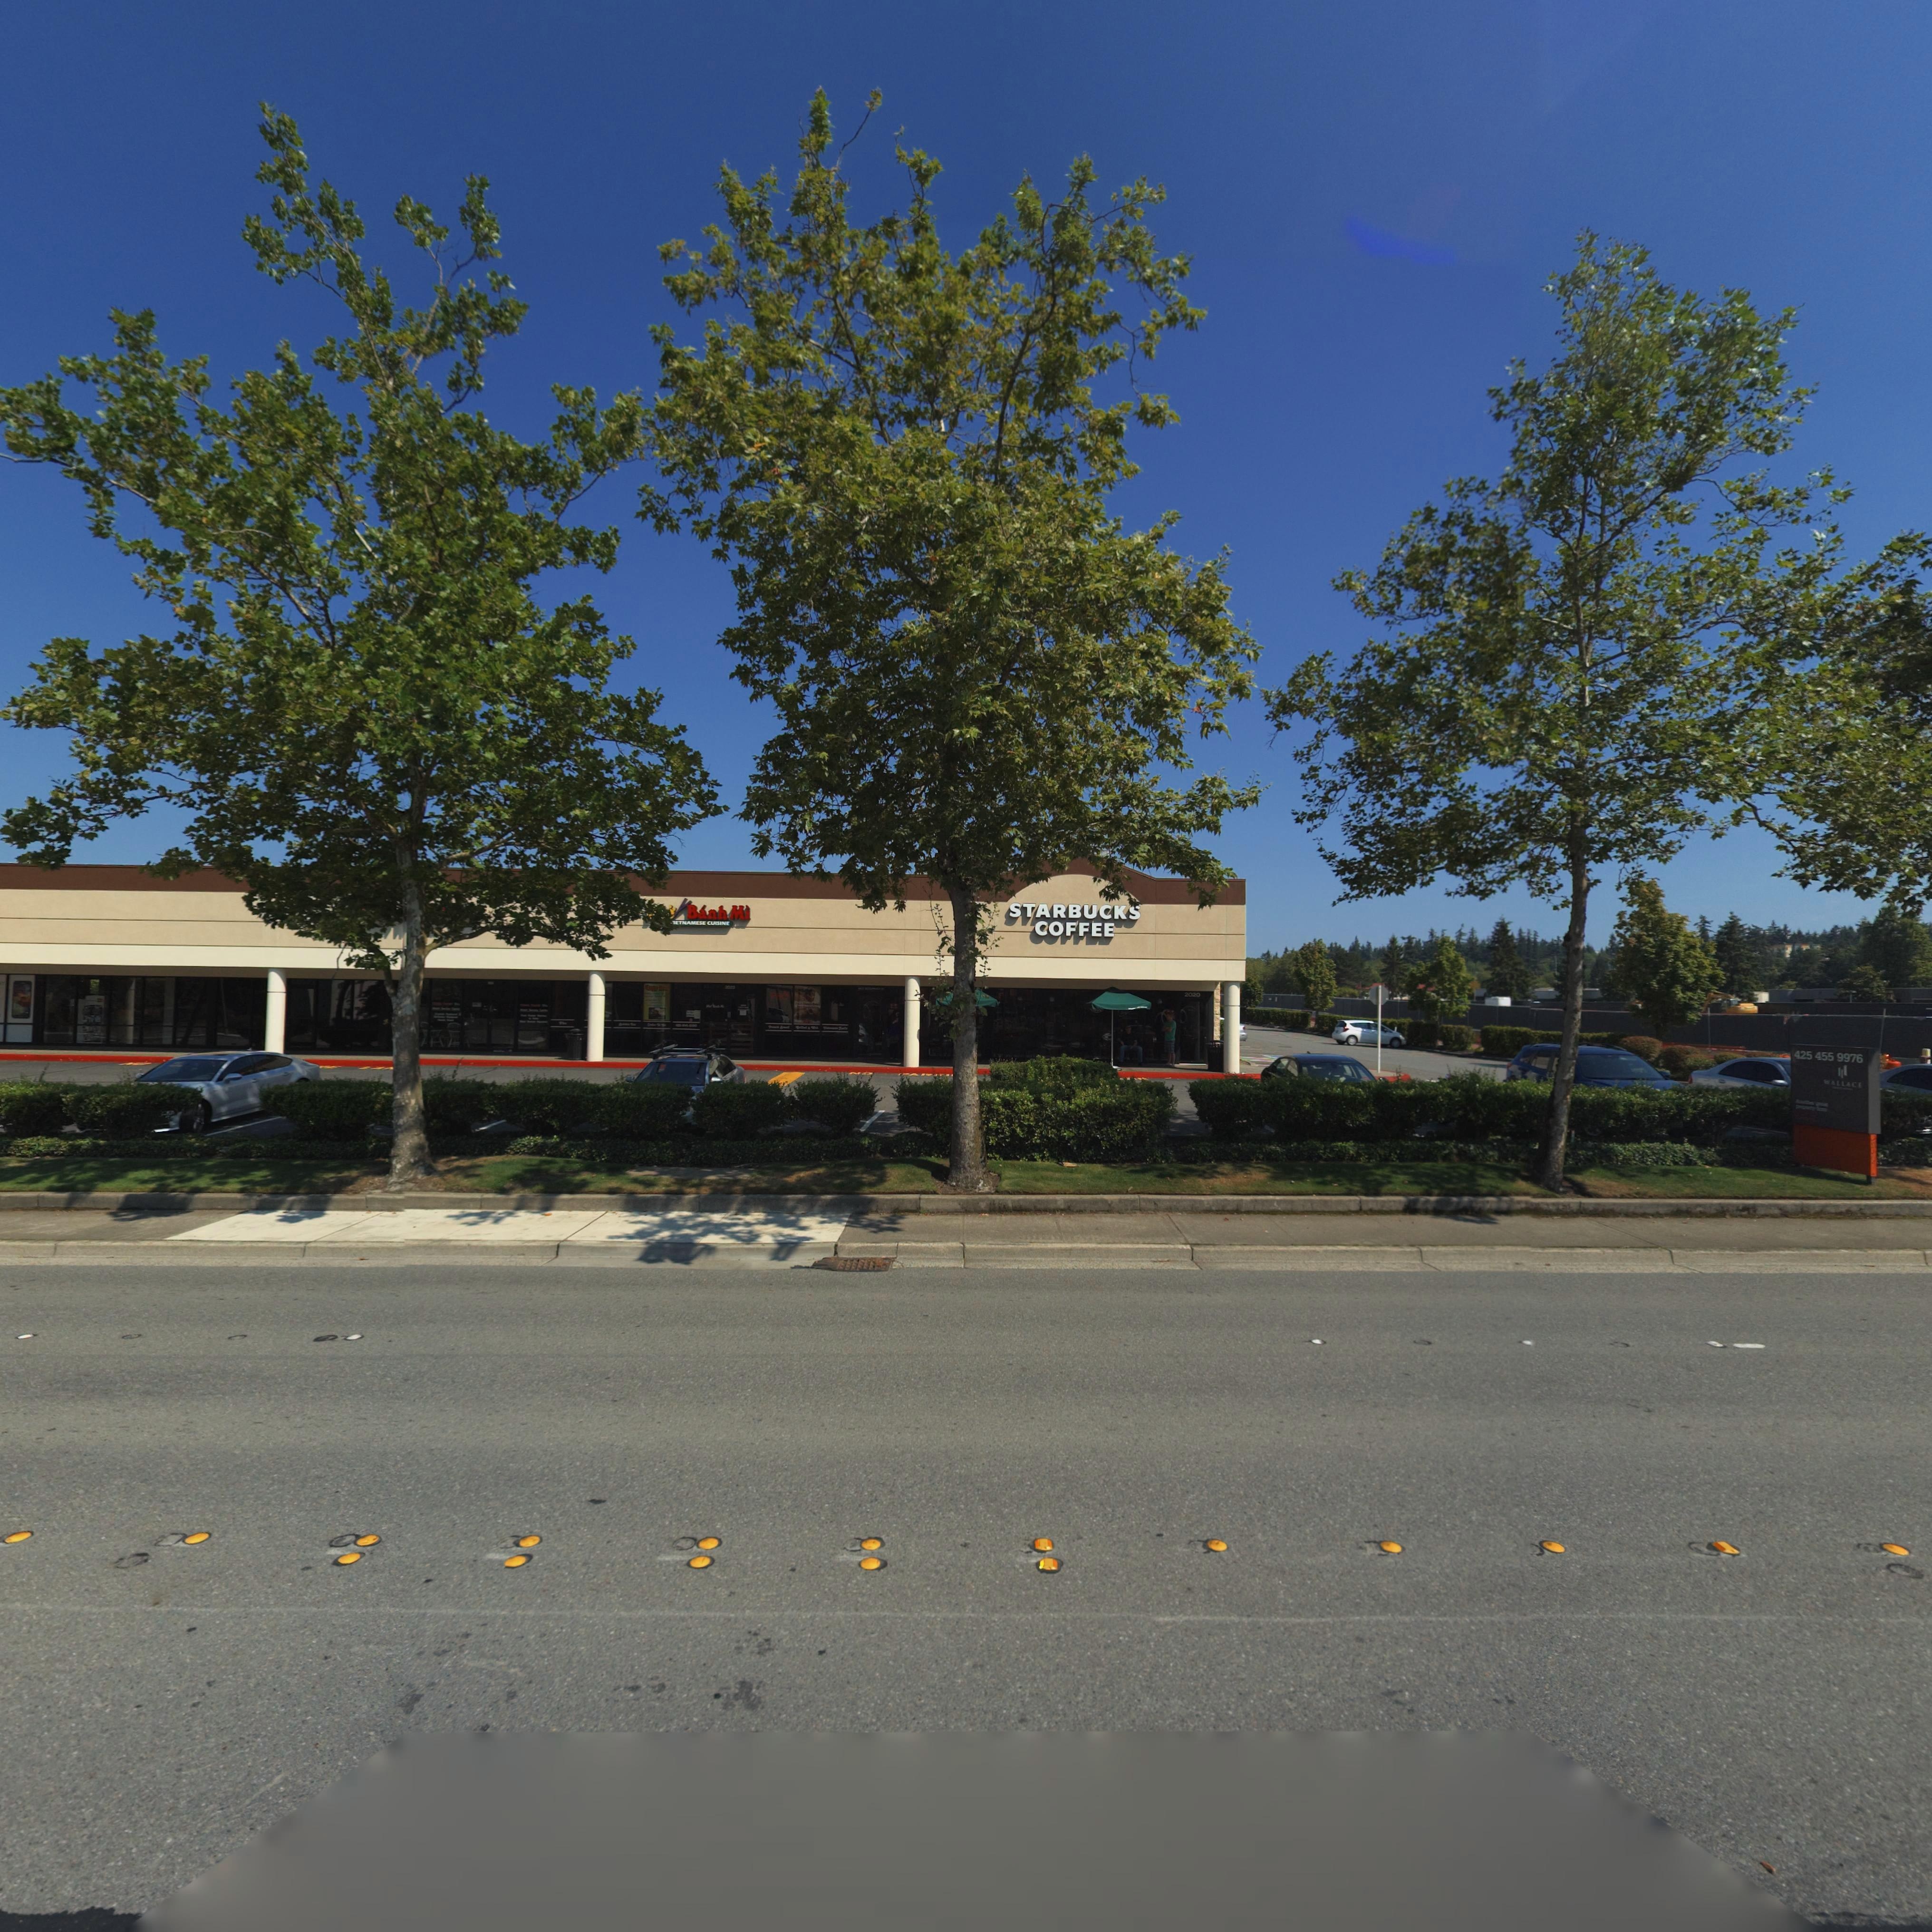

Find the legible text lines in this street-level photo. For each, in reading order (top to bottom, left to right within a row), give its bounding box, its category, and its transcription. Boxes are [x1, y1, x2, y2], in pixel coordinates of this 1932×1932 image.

[686, 904, 751, 920] BusinessName: B*nh Mi
[1008, 901, 1128, 920] BusinessName: STARBUCK
[675, 920, 730, 925] BusinessName: ETNAMESE CUISINE
[1034, 919, 1115, 937] BusinessName: COFFEE
[1184, 992, 1201, 997] StreetNumber: 2020